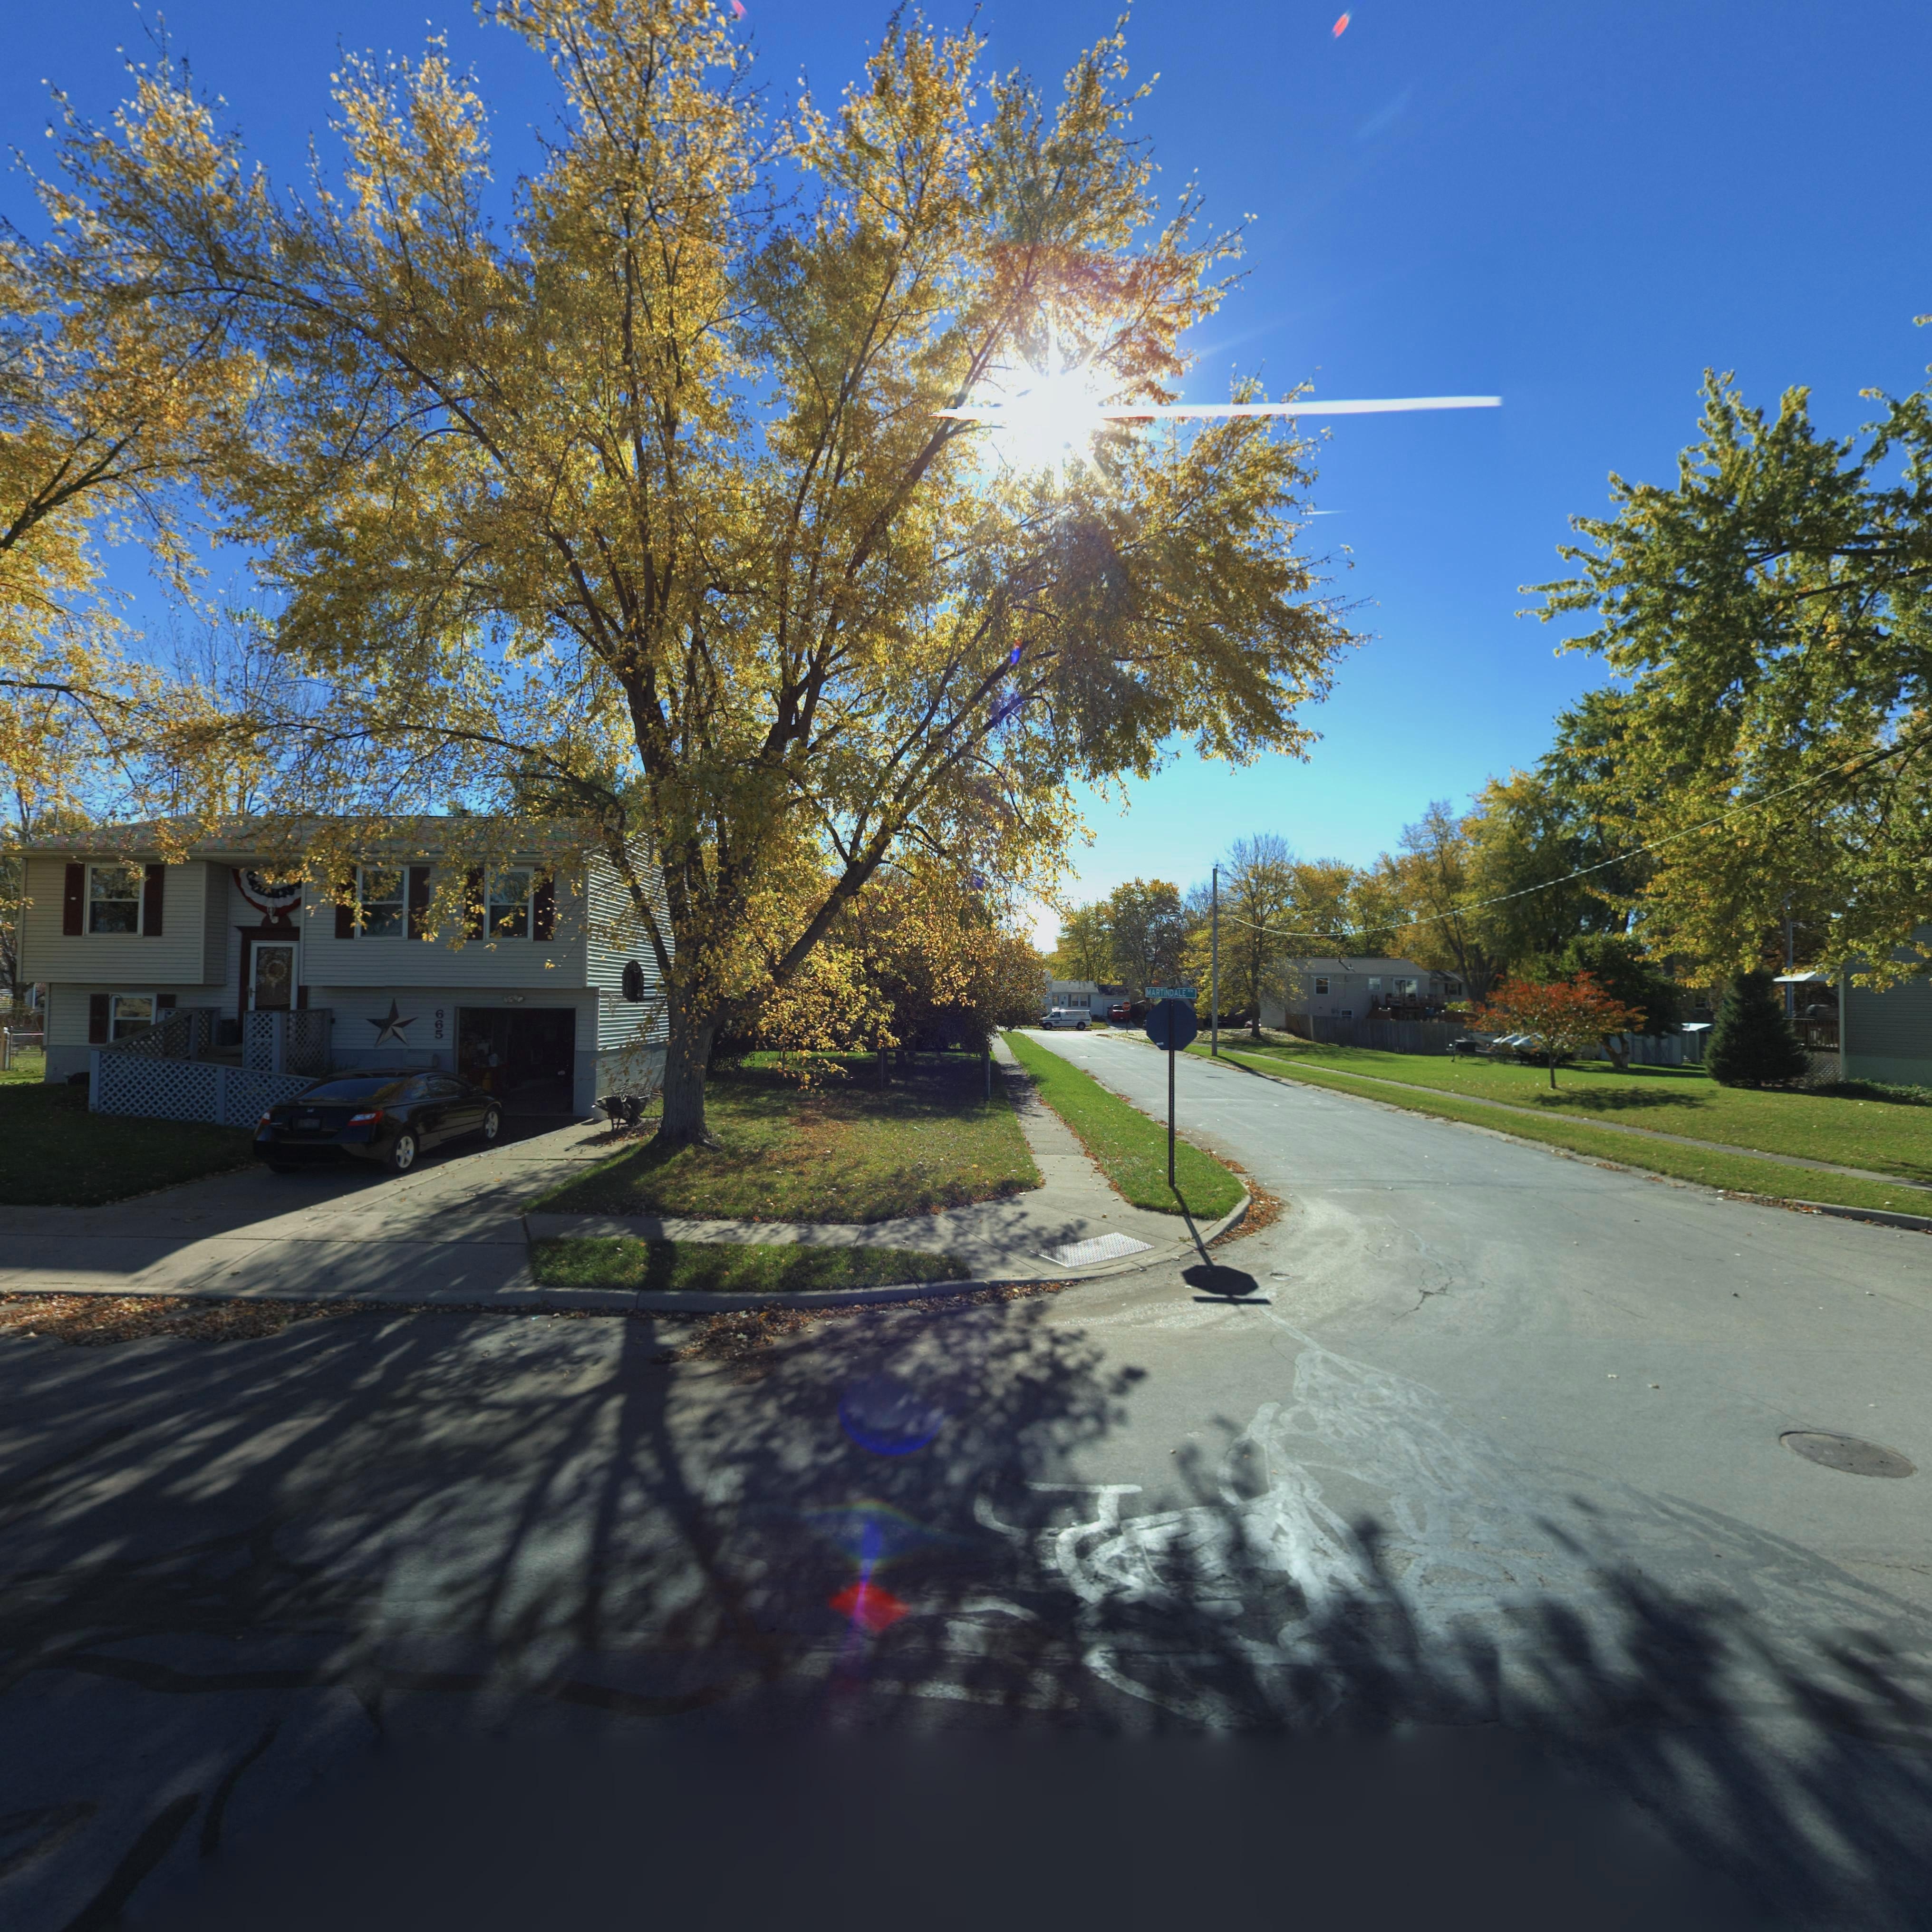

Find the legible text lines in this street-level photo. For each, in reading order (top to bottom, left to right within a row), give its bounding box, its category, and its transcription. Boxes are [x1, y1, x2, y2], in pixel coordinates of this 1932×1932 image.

[1146, 988, 1186, 997] StreetName: MARTINDALE
[435, 1009, 444, 1039] StreetNumber: 665